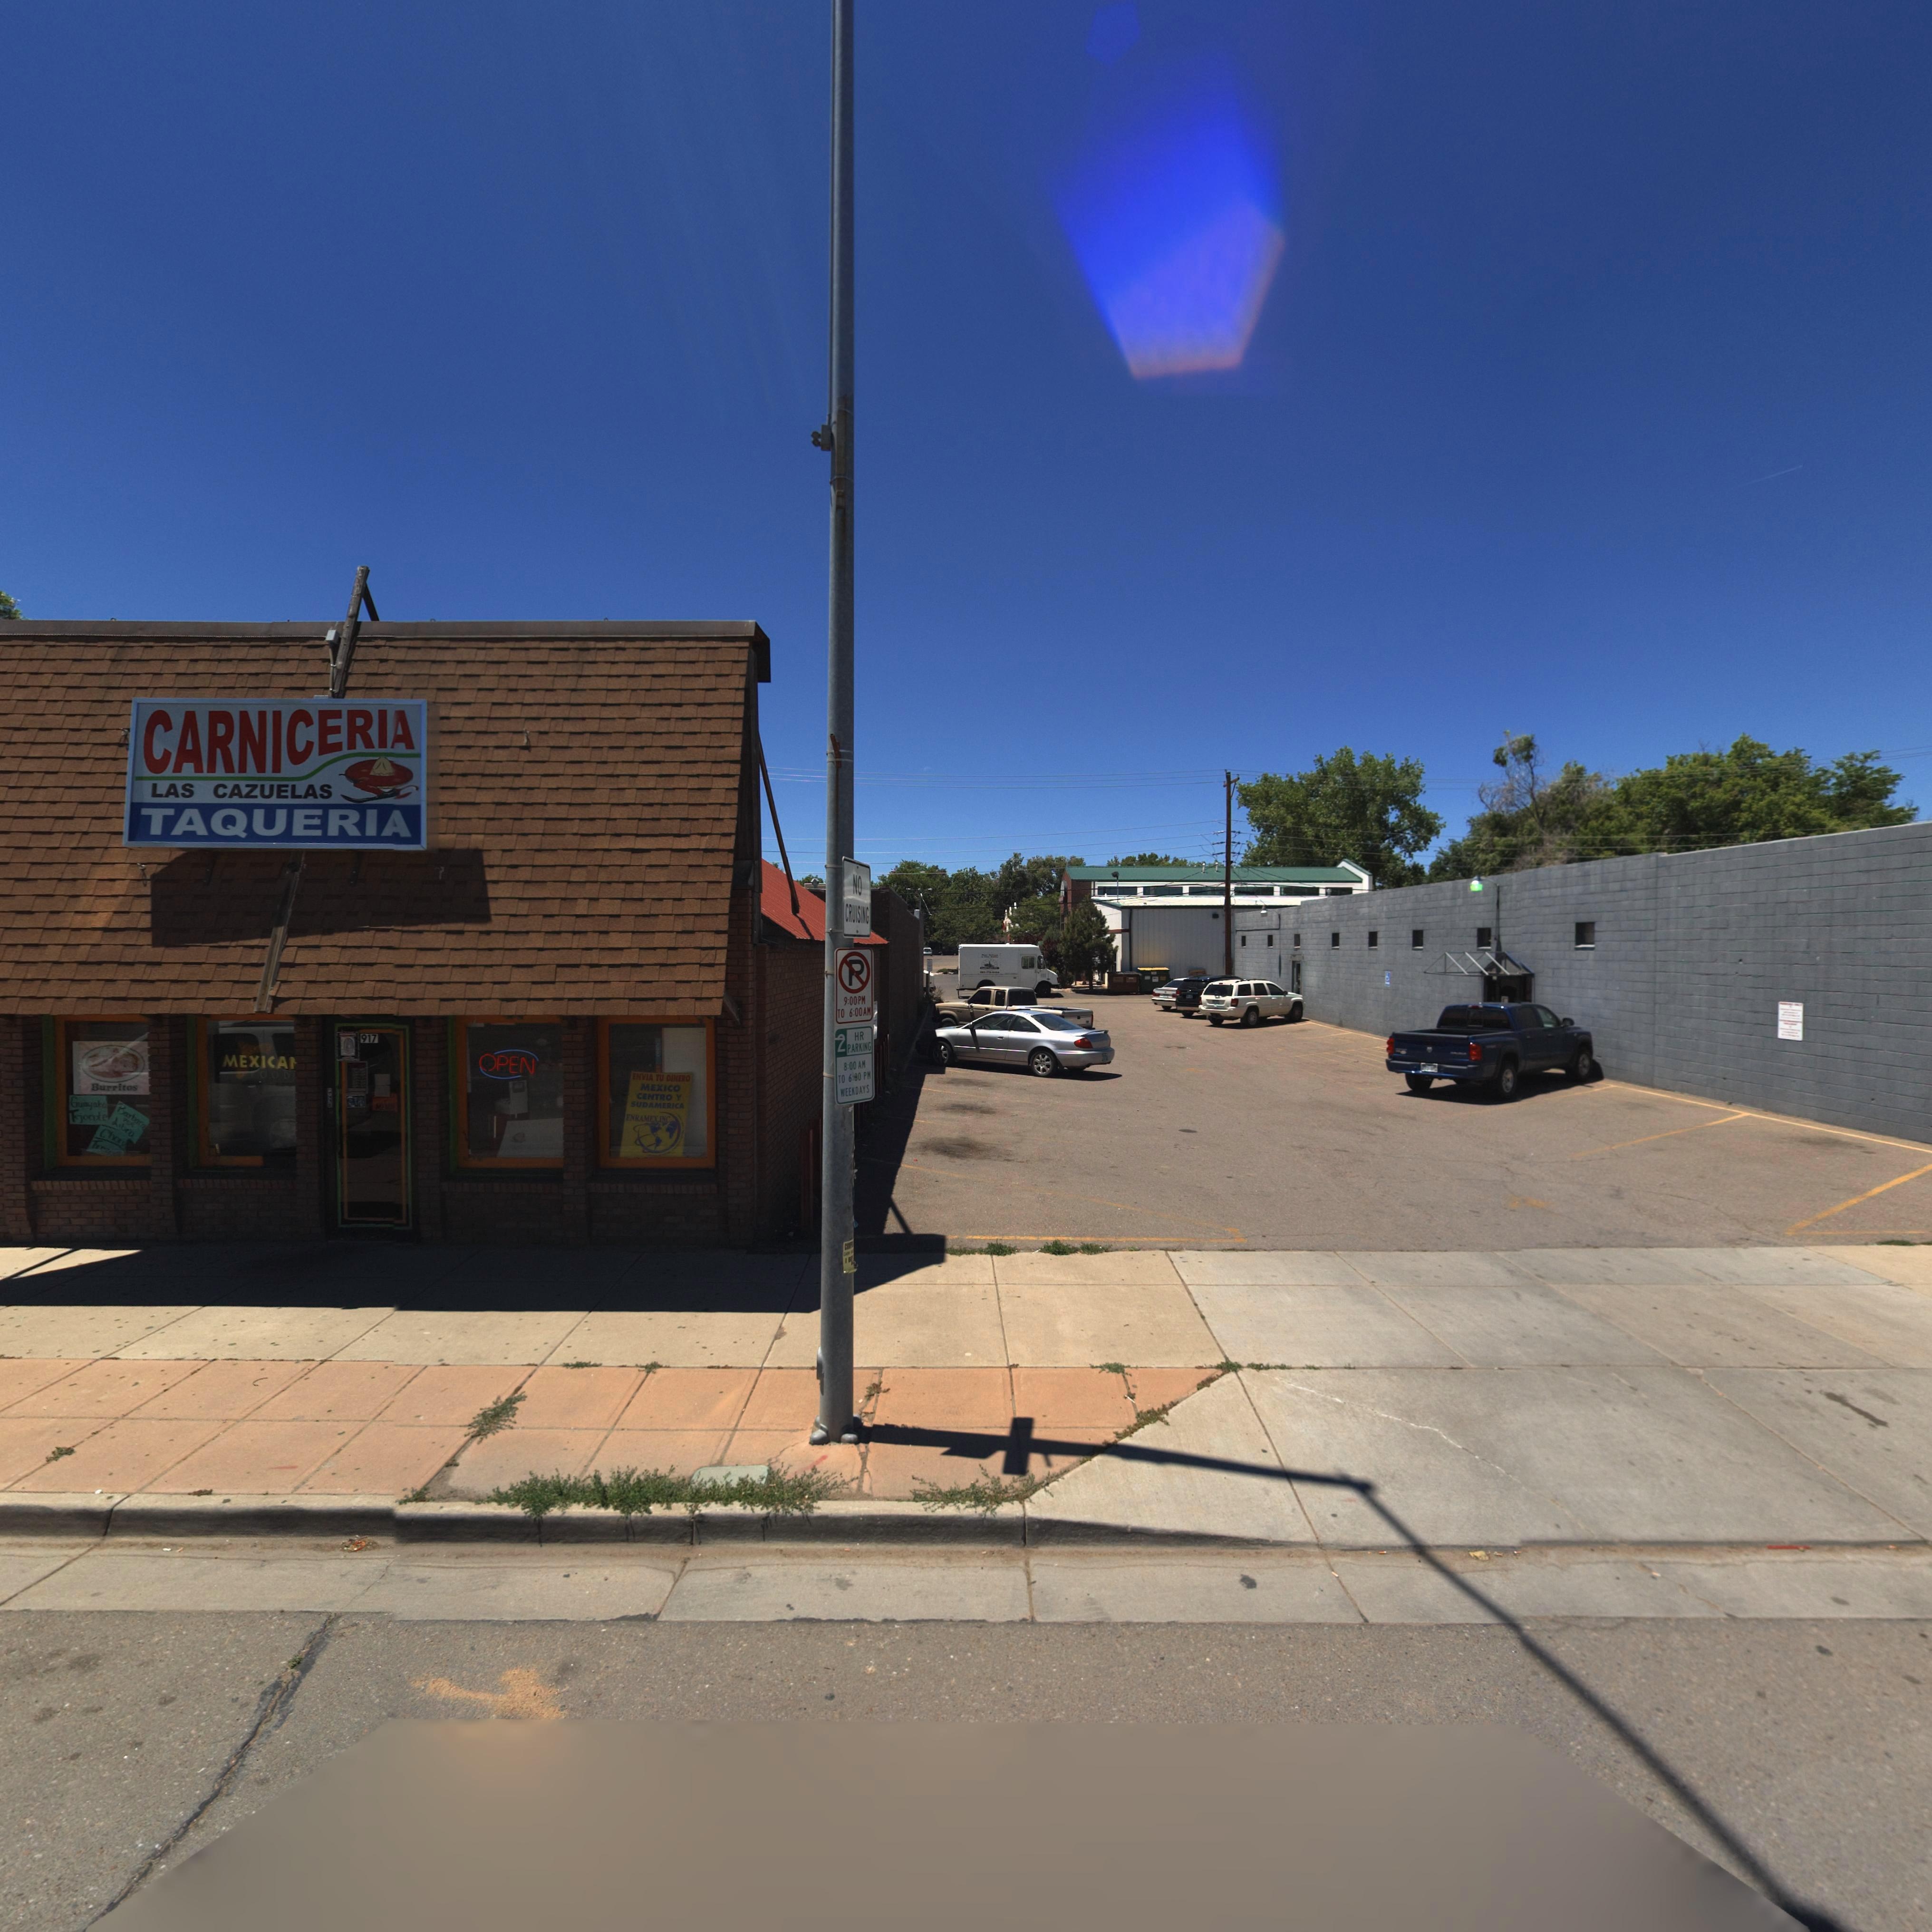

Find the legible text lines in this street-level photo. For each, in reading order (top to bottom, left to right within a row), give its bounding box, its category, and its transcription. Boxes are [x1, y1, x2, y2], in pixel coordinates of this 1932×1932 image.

[150, 782, 332, 800] BusinessName: LAS CAZUELAS
[360, 1033, 377, 1043] StreetNumber: 917